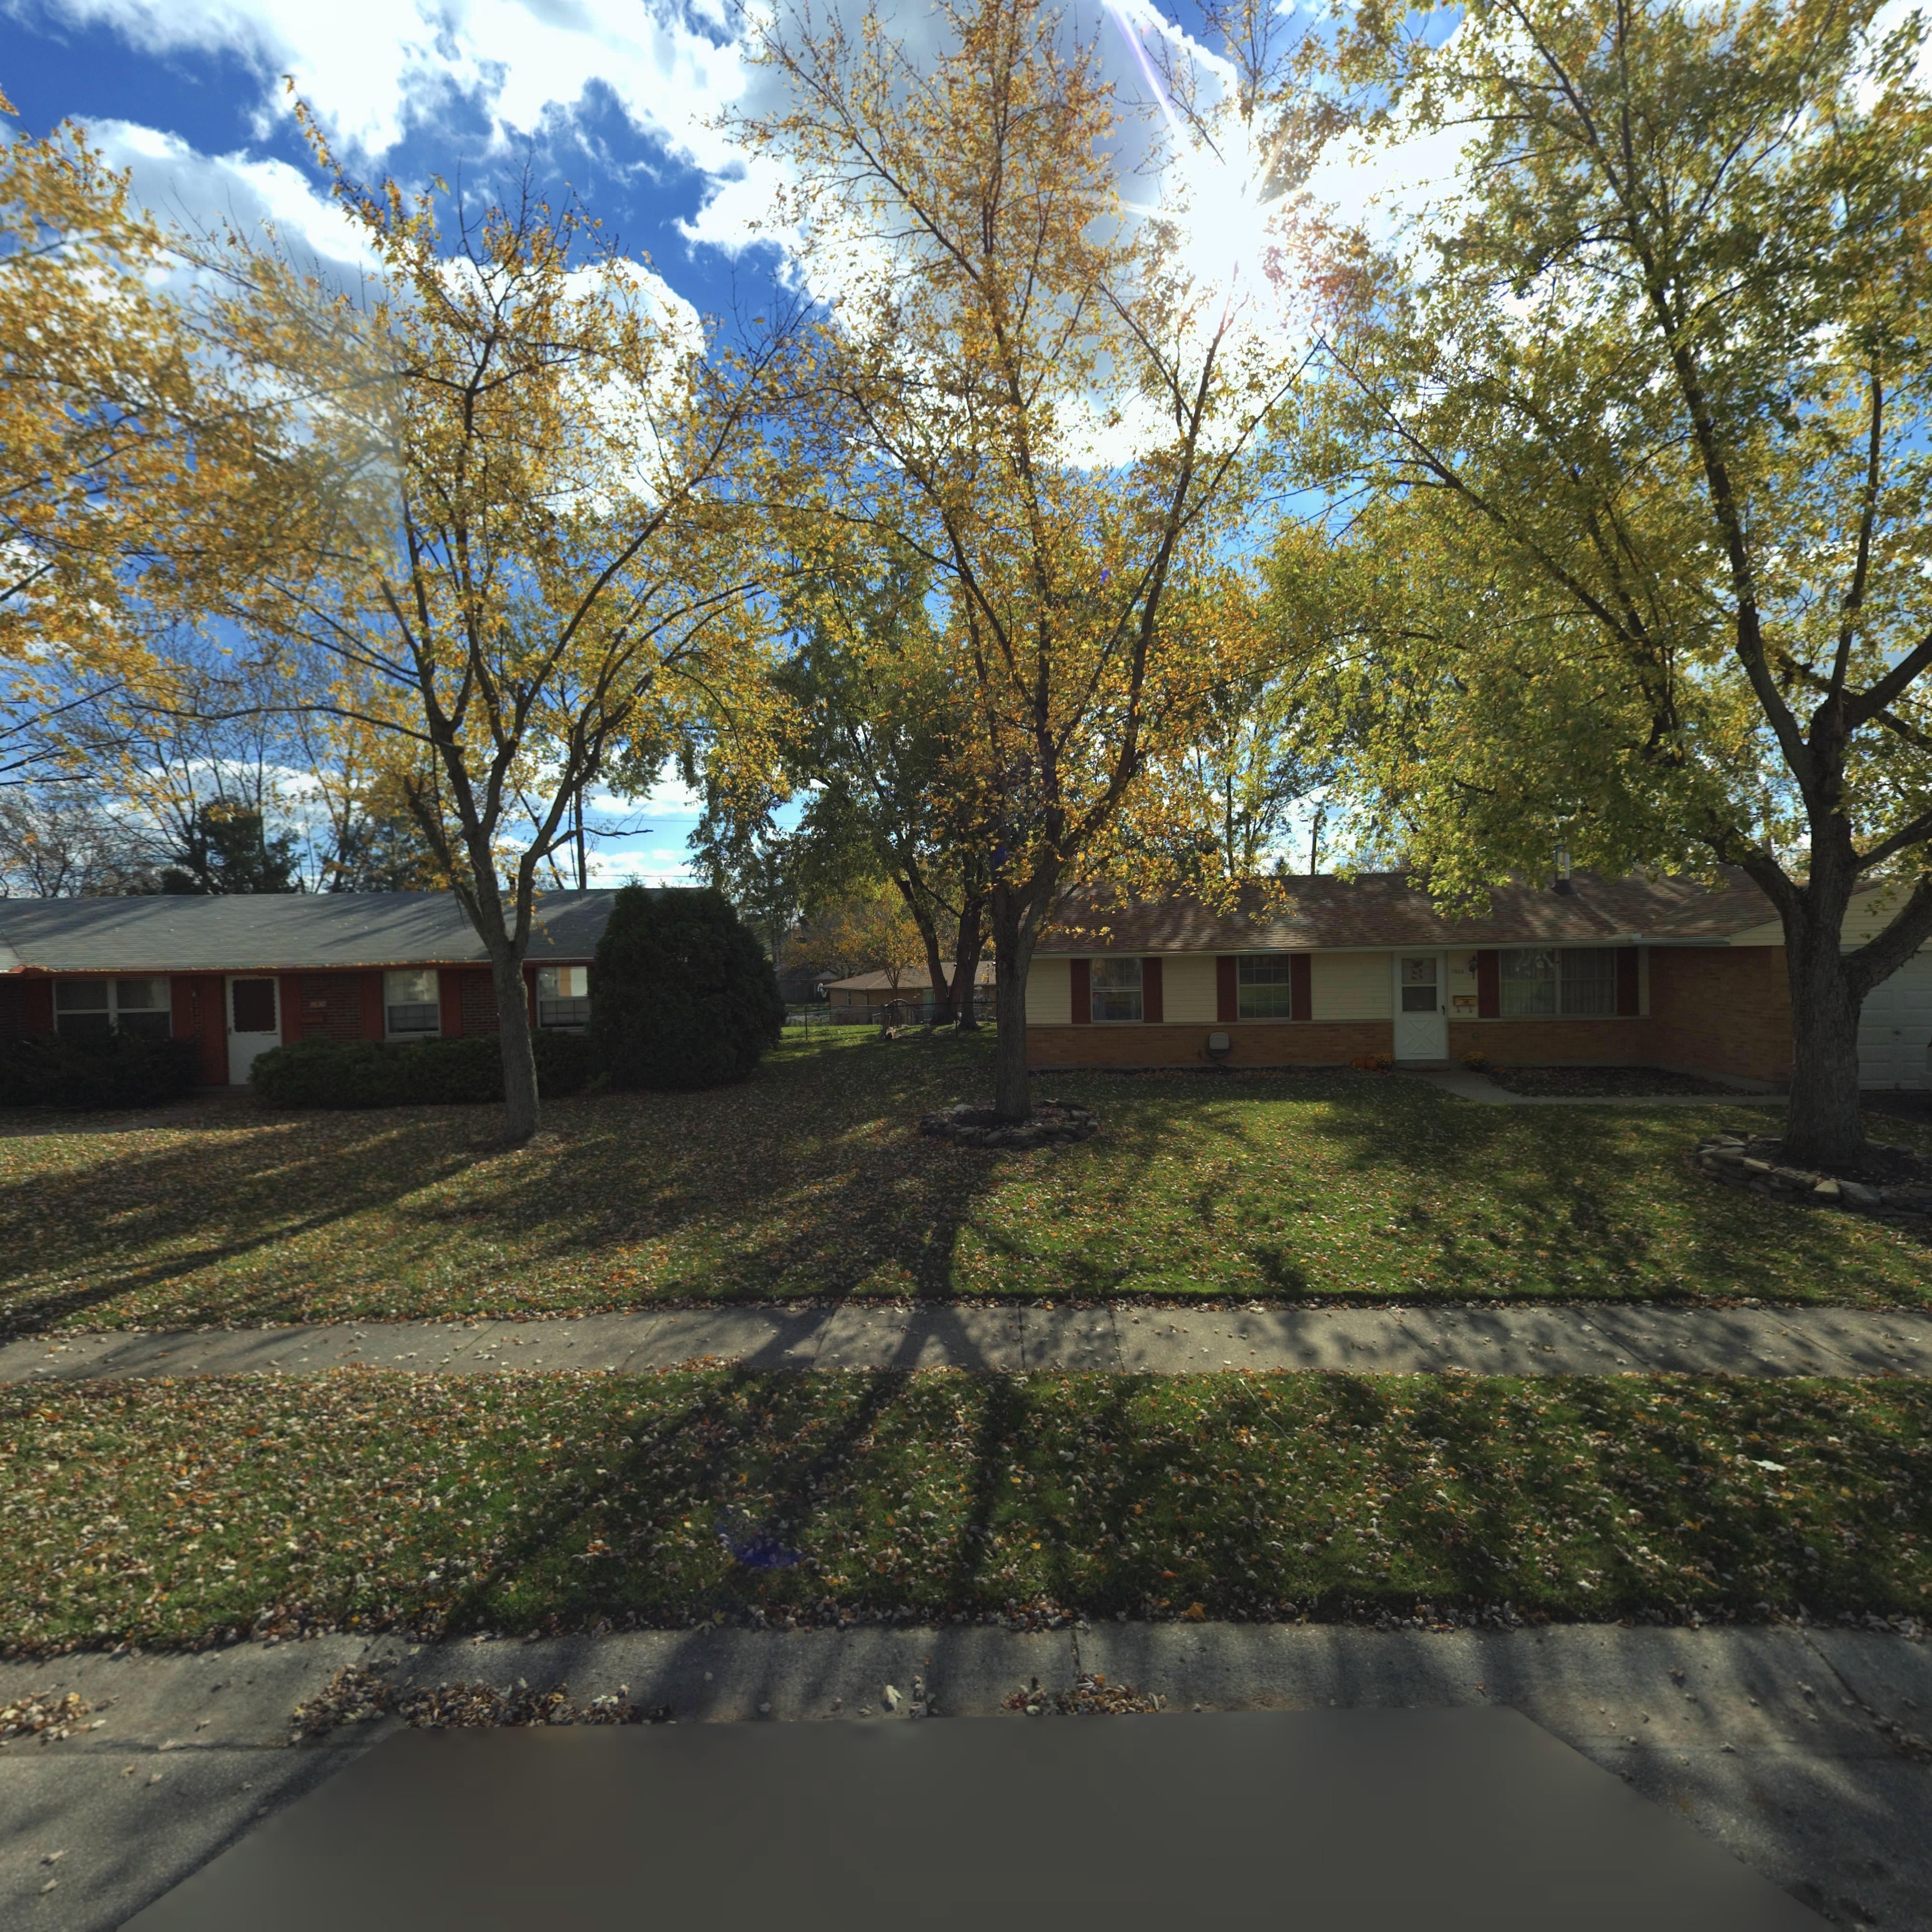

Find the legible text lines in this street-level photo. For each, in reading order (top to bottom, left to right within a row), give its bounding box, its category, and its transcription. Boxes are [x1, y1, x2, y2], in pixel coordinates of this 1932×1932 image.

[1450, 968, 1465, 974] StreetNumber: 7624
[308, 1000, 326, 1008] StreetNumber: 7630